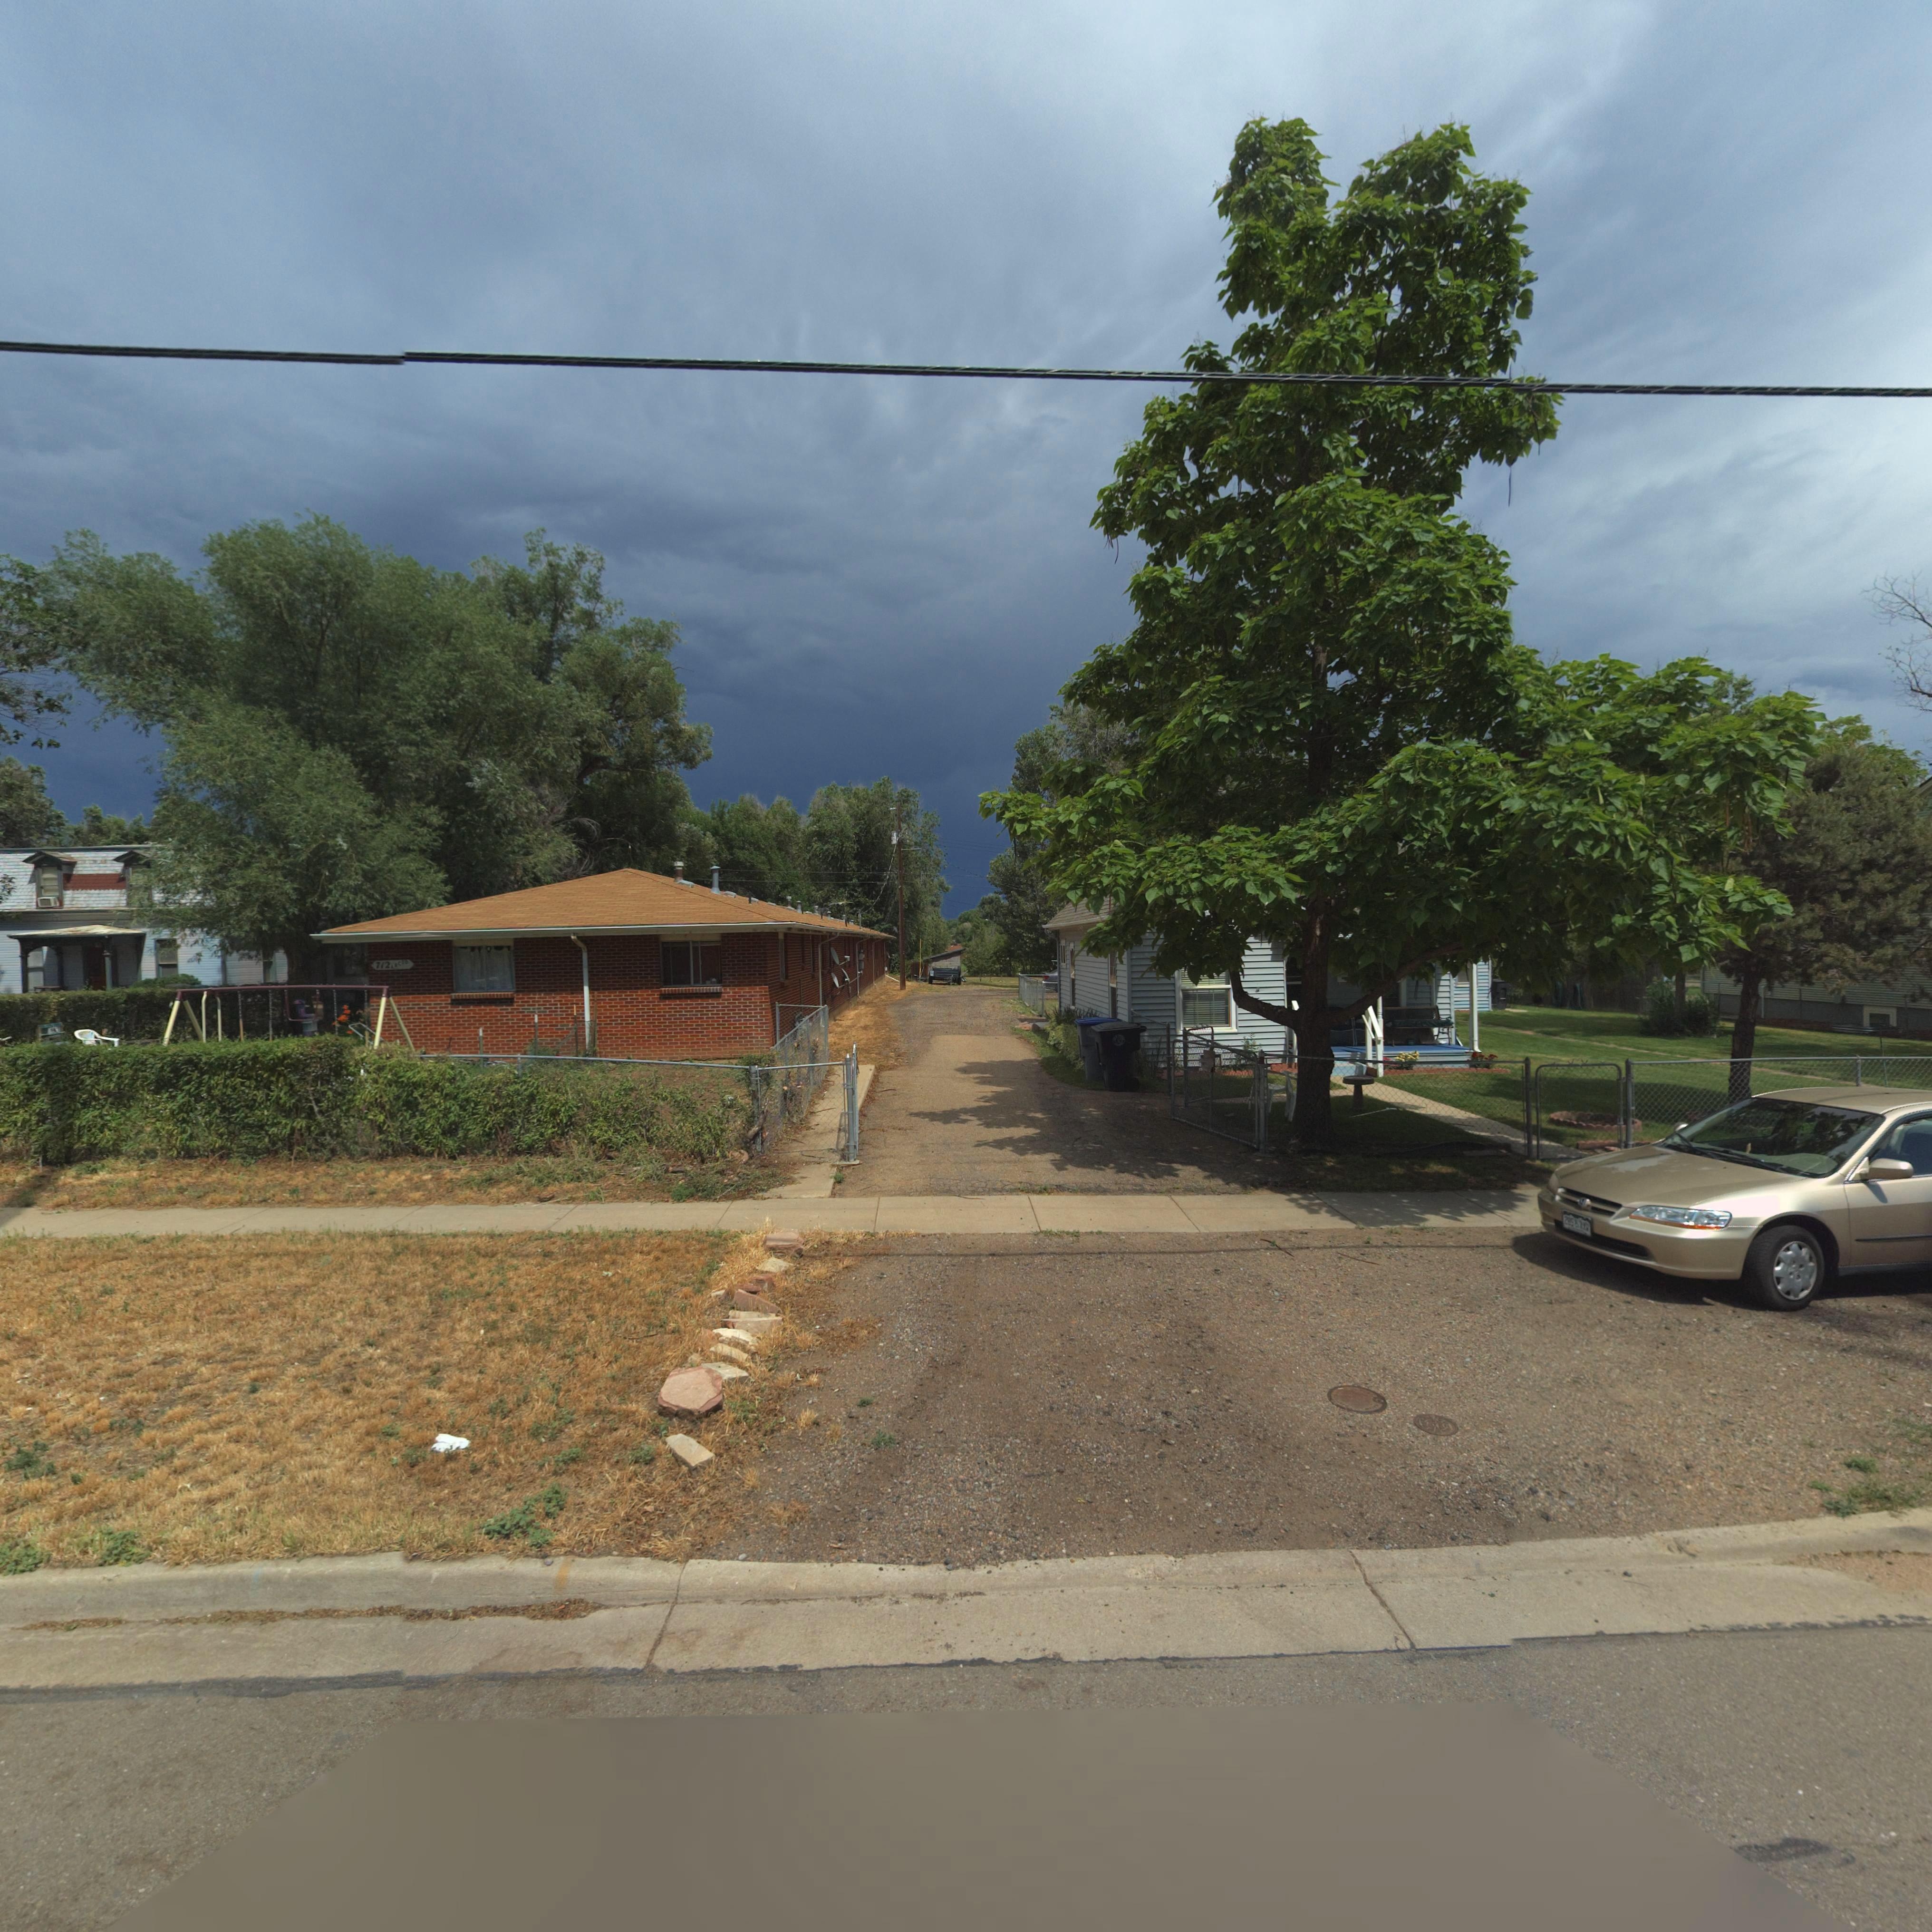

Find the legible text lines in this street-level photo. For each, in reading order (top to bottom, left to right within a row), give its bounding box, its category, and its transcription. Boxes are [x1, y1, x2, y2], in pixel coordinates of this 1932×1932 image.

[375, 961, 389, 969] StreetNumber: 712